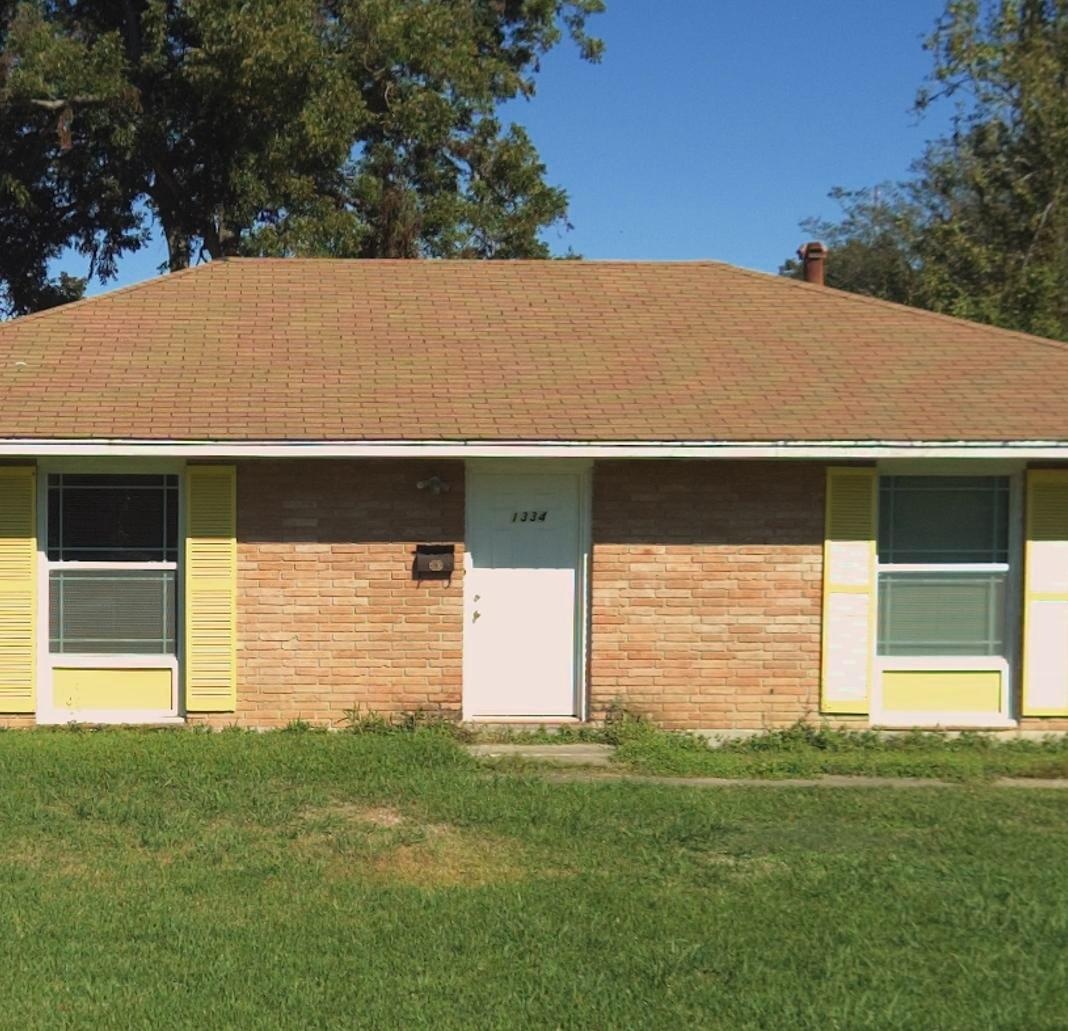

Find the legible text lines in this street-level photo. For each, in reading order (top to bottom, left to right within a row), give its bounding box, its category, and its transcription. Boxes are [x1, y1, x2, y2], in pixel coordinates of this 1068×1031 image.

[510, 511, 549, 523] StreetNumber: 1334